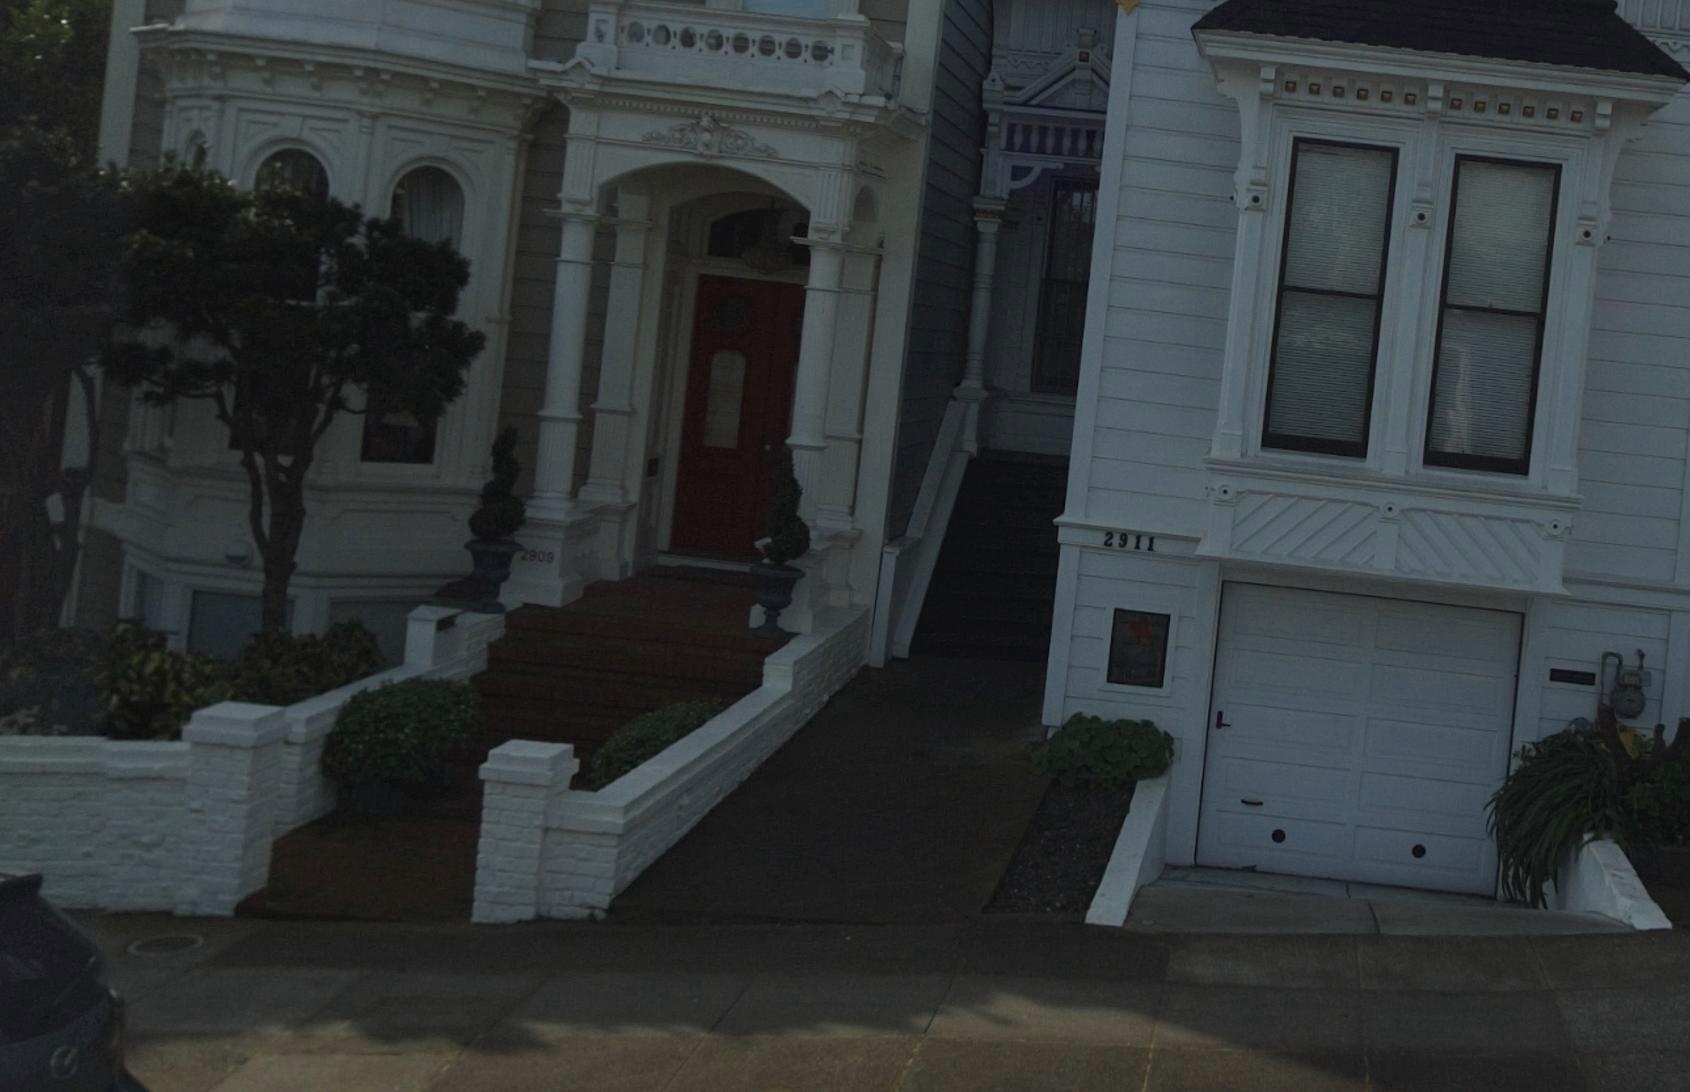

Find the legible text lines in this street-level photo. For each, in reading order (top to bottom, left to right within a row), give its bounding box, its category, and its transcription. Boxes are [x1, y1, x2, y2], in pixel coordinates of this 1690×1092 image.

[1099, 527, 1159, 555] StreetNumber: 2911
[517, 545, 557, 567] StreetNumber: 2909